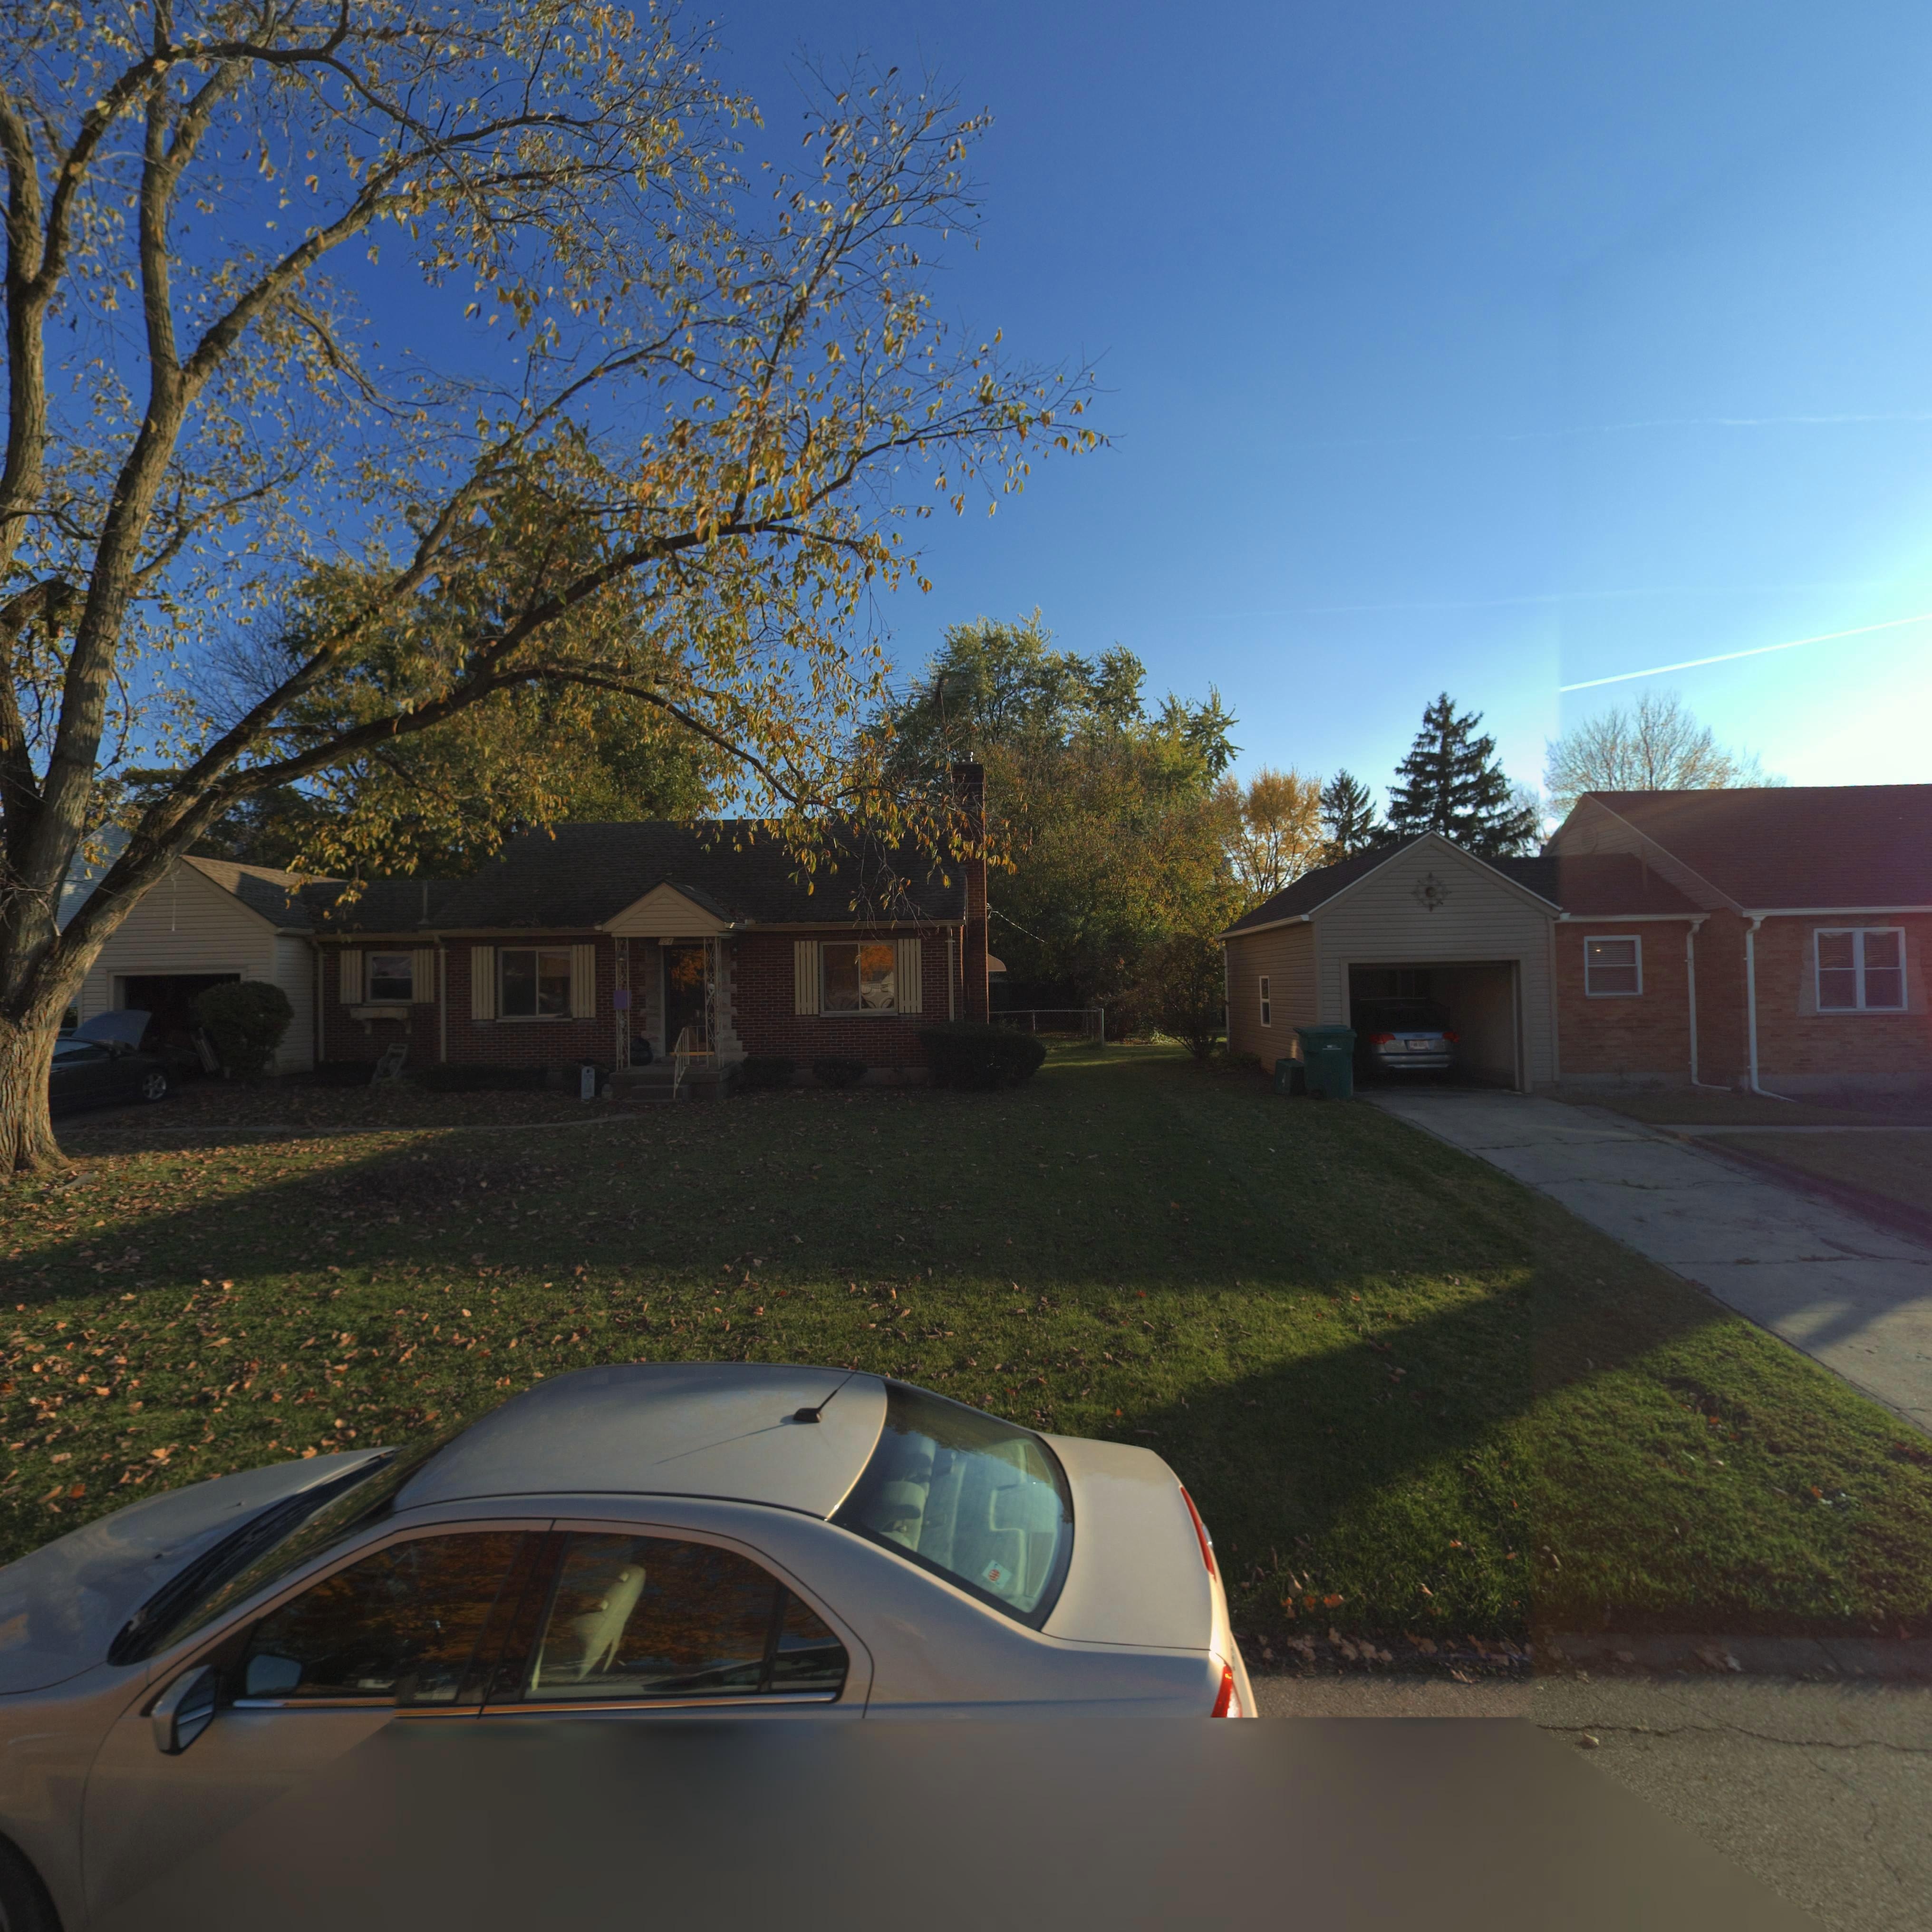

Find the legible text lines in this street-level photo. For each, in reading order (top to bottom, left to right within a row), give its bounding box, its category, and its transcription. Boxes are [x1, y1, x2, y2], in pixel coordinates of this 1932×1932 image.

[658, 937, 674, 945] StreetNumber: 104